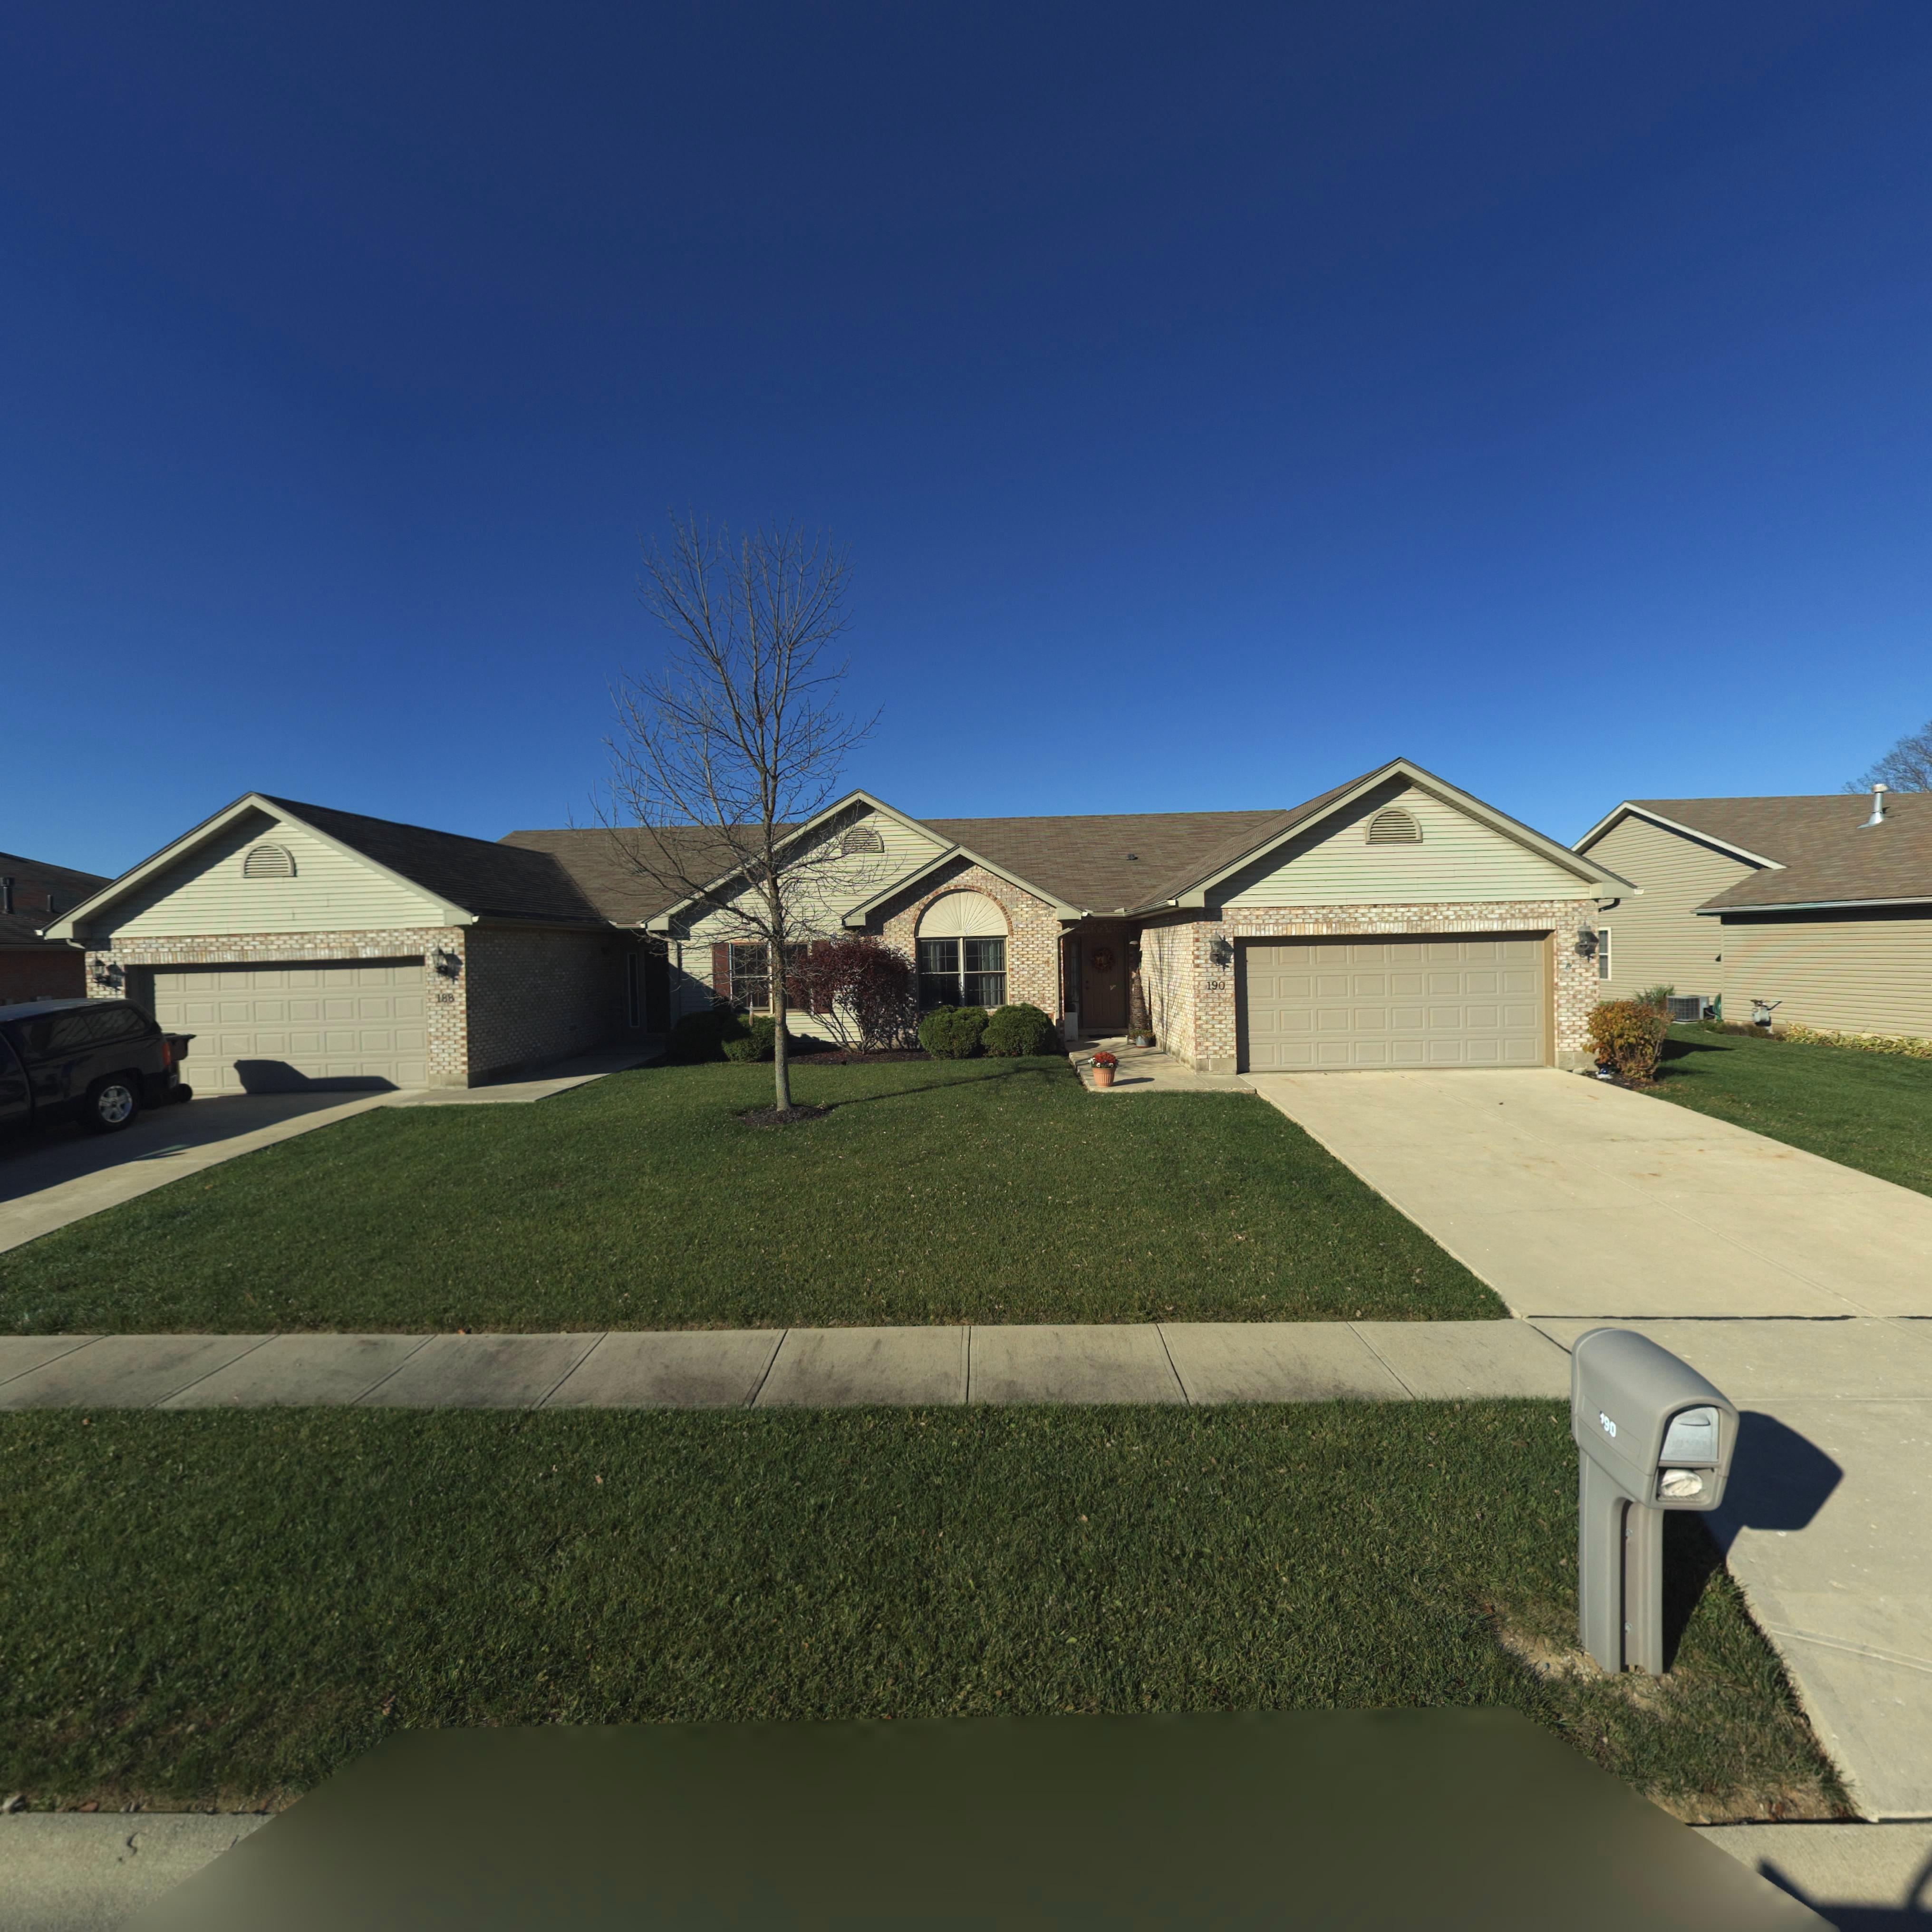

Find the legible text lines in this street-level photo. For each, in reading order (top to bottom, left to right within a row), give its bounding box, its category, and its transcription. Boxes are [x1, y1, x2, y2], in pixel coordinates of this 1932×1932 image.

[1206, 980, 1226, 991] StreetNumber: 190
[436, 992, 455, 1004] StreetNumber: 188
[1598, 1410, 1617, 1439] StreetNumber: 190